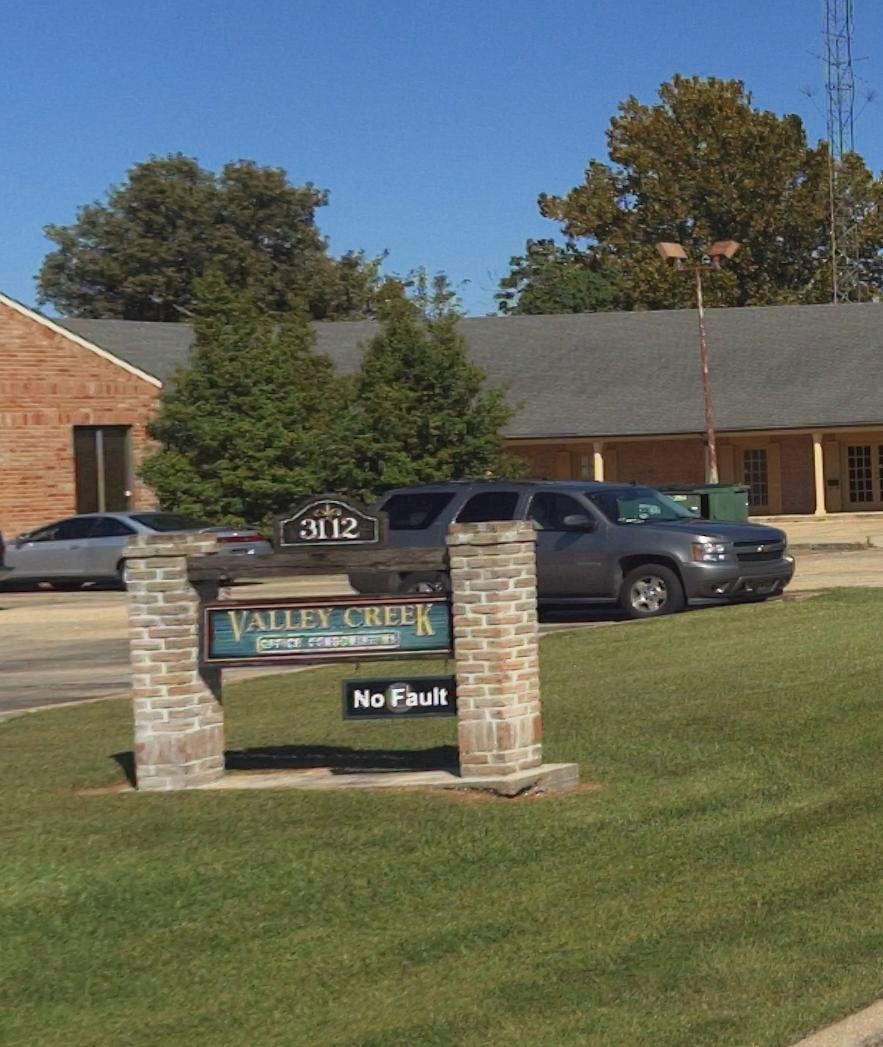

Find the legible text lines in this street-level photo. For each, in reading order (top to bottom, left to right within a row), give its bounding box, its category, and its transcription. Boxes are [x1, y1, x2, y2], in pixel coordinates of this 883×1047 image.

[297, 515, 364, 543] StreetNumber: 3112
[222, 598, 438, 646] BusinessName: VALLEY CREEK
[285, 636, 304, 651] None: CE
[350, 680, 454, 714] None: No Fault